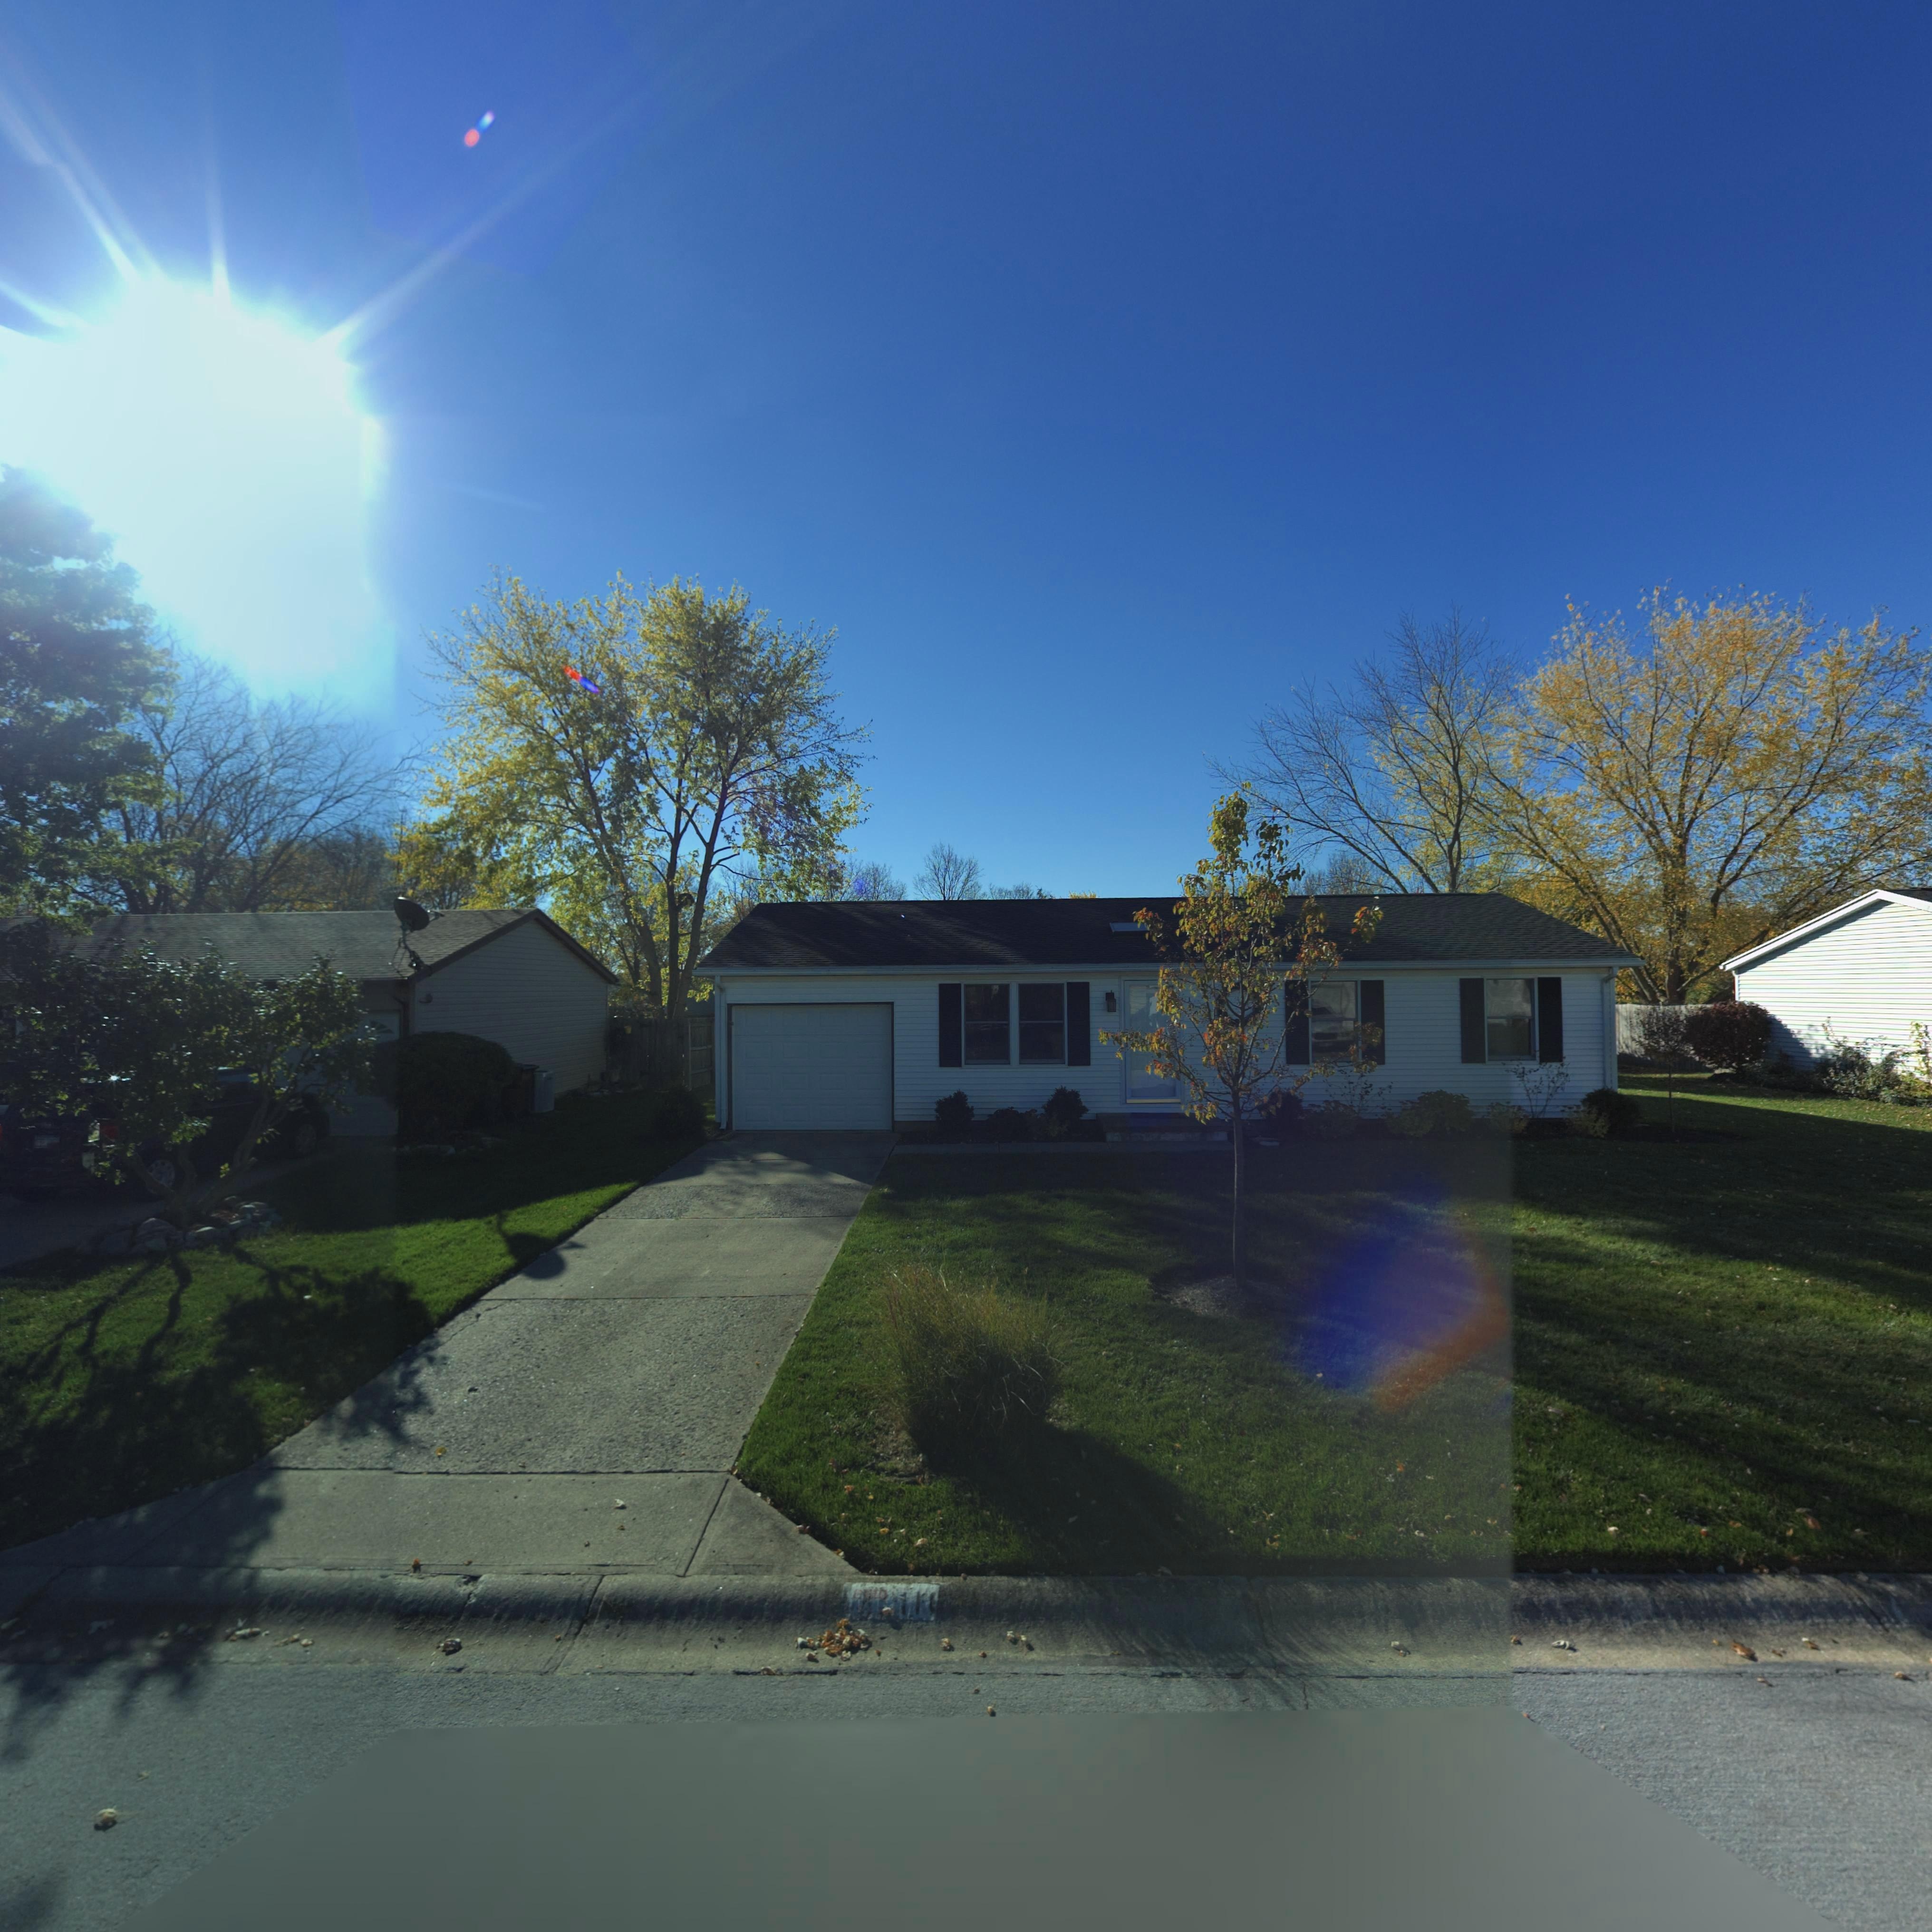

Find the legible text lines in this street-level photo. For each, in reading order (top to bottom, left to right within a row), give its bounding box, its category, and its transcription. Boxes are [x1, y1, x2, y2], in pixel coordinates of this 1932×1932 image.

[898, 1589, 937, 1616] StreetNumberRange: 11*